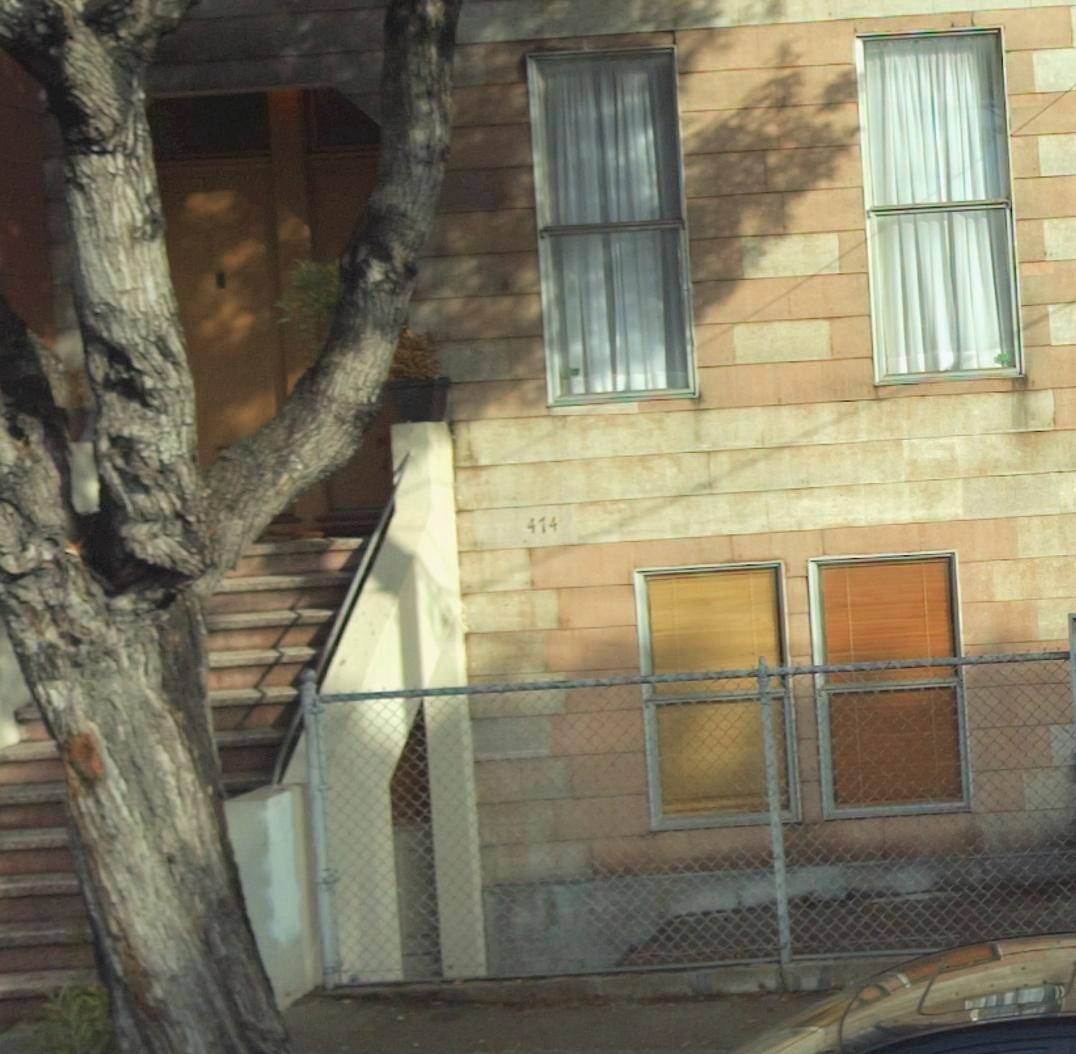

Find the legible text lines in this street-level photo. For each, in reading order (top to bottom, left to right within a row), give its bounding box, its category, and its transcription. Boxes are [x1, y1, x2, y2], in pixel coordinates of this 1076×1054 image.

[523, 512, 560, 537] StreetNumber: 474